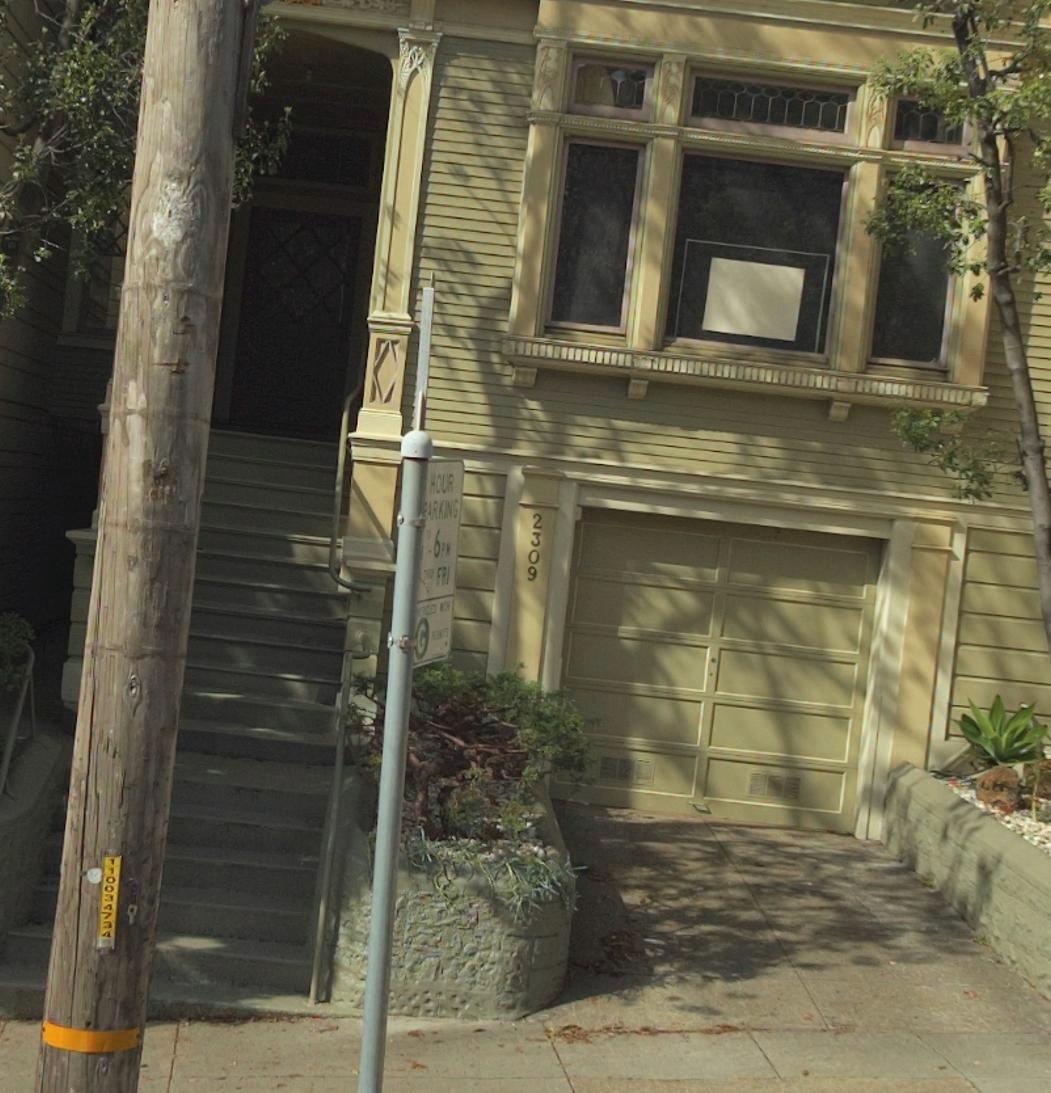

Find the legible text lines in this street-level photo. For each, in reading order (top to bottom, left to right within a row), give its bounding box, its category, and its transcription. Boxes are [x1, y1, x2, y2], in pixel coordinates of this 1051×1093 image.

[426, 469, 457, 499] None: HOUR
[423, 497, 461, 524] None: ARKING
[431, 526, 453, 562] None: 6 P*
[524, 509, 545, 585] StreetNumber: 2309
[434, 563, 453, 590] None: FRI
[413, 620, 429, 656] None: G
[99, 856, 119, 931] None: 11003473